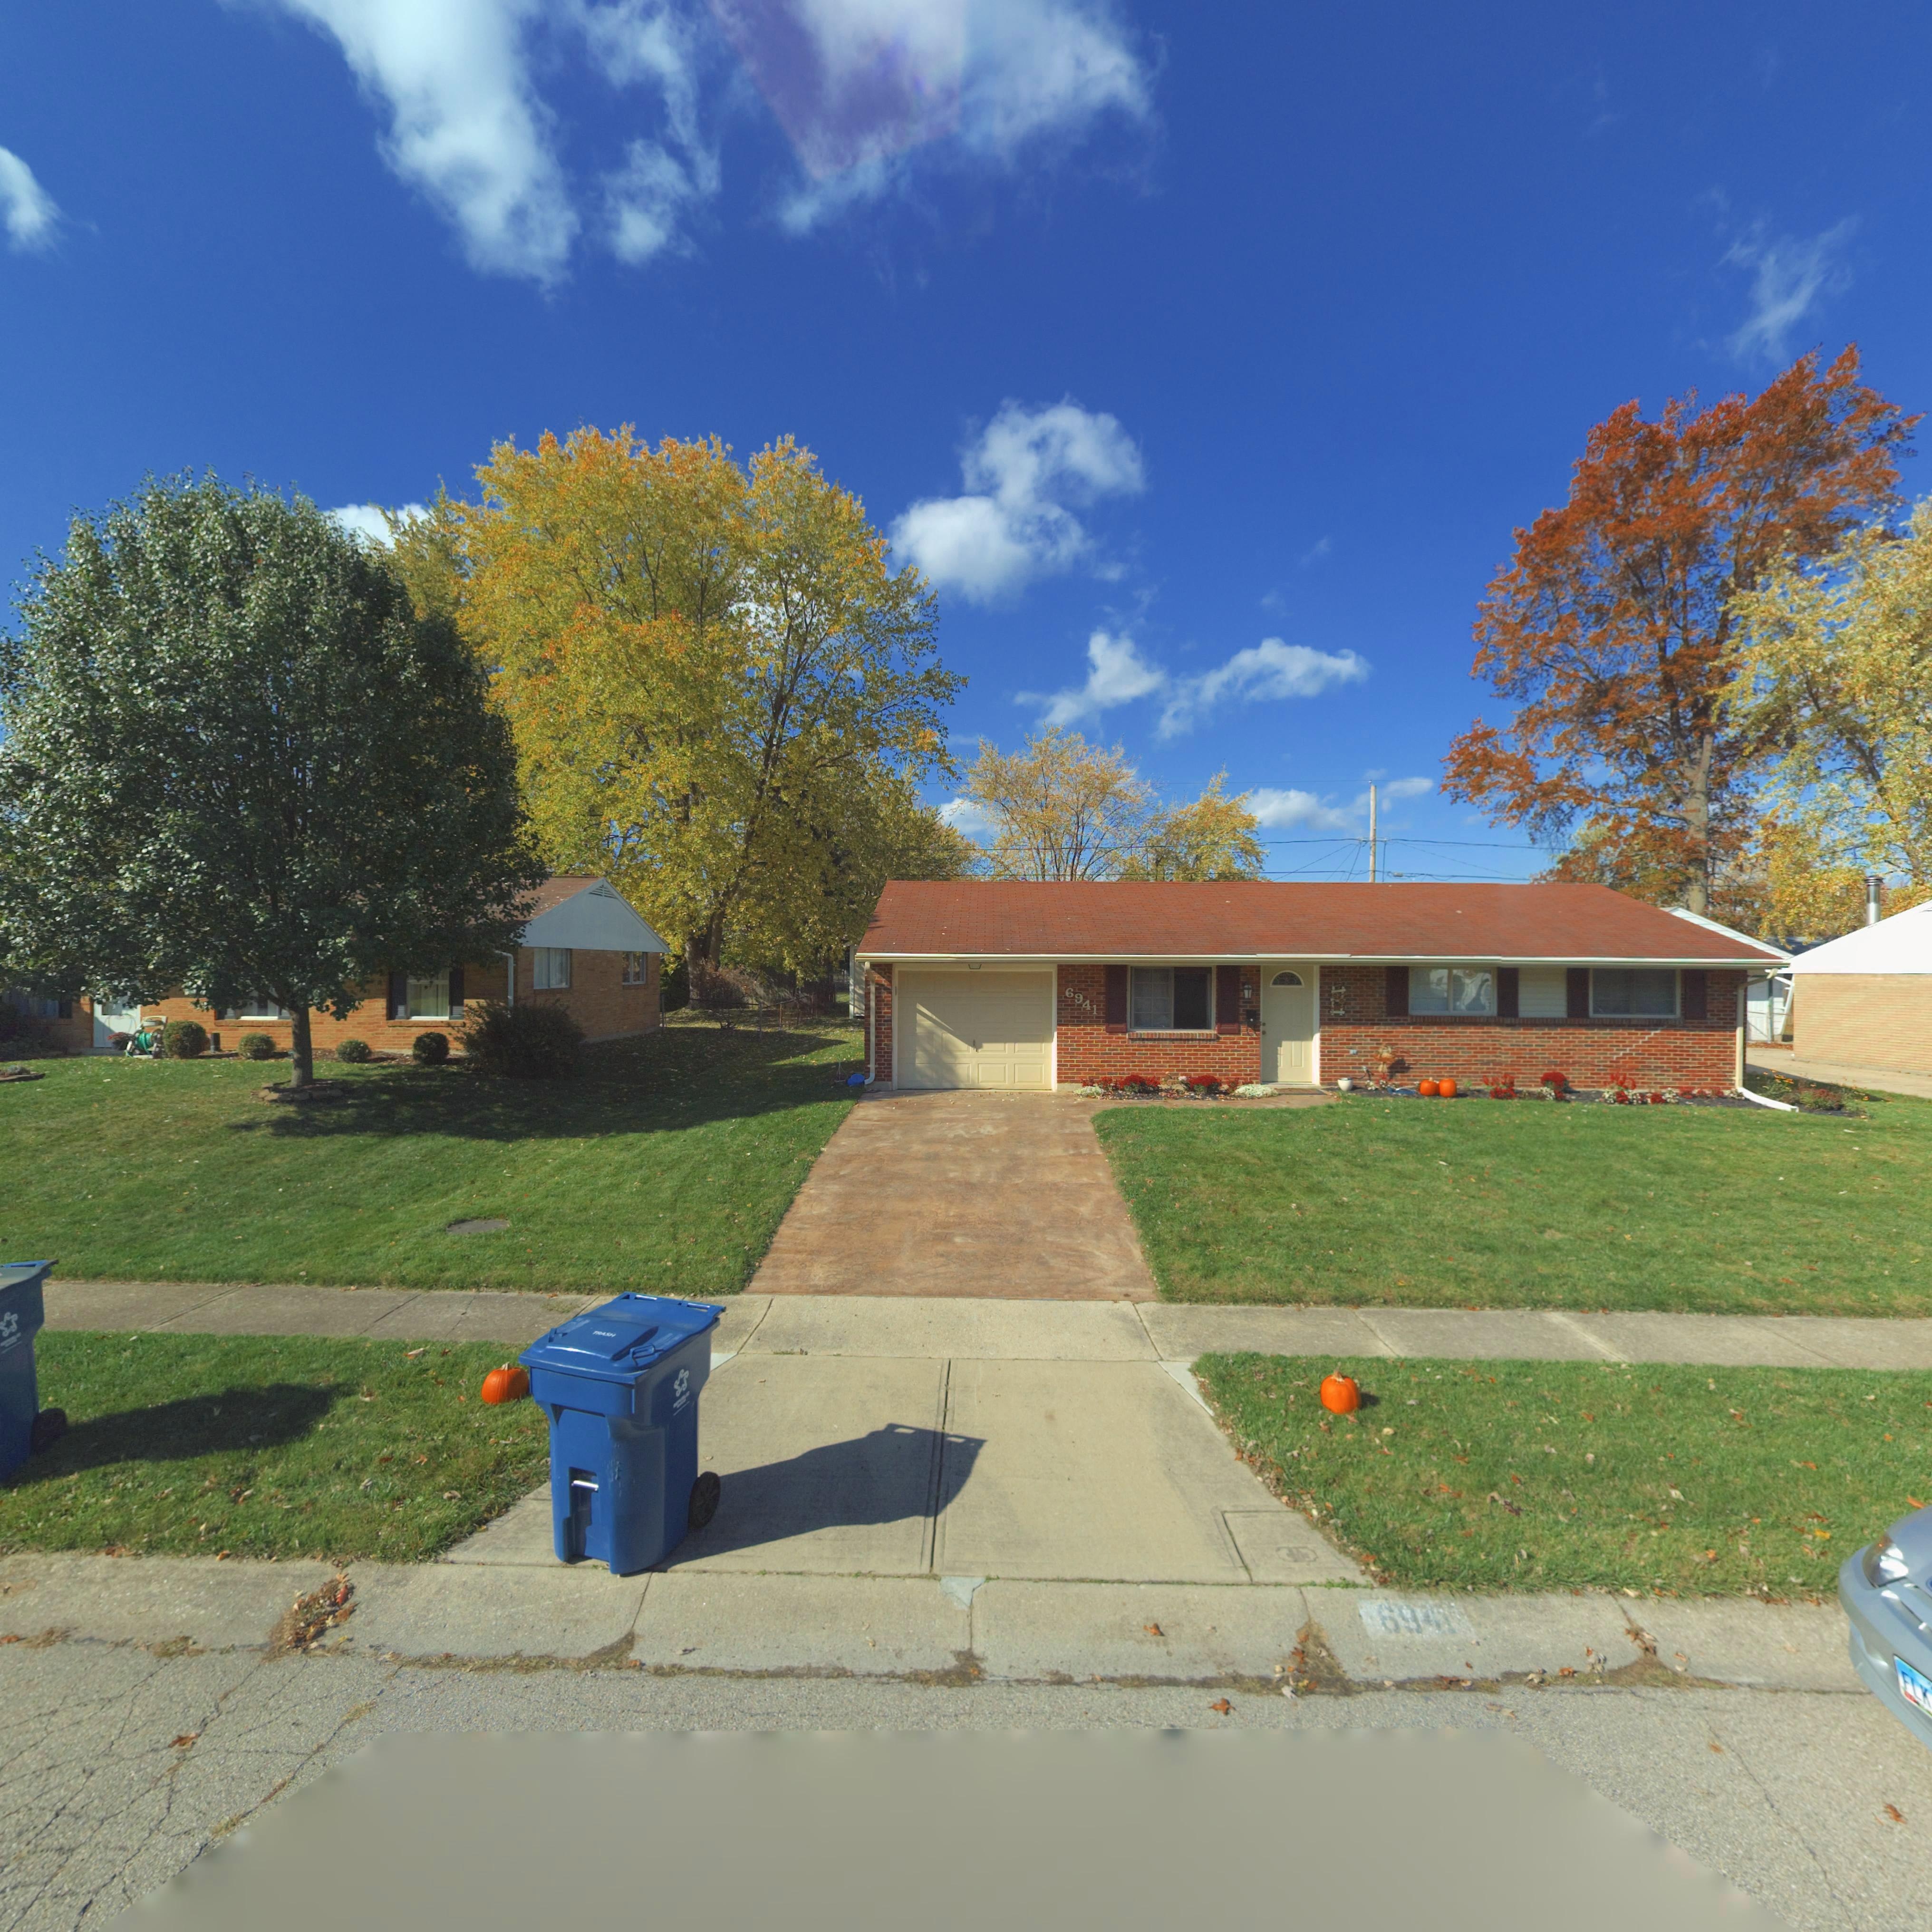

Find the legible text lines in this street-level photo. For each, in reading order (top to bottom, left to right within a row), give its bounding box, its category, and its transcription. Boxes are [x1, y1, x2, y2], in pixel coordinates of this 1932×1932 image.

[1064, 986, 1099, 1016] StreetNumber: 6941
[1374, 1601, 1460, 1637] StreetNumber: 69**